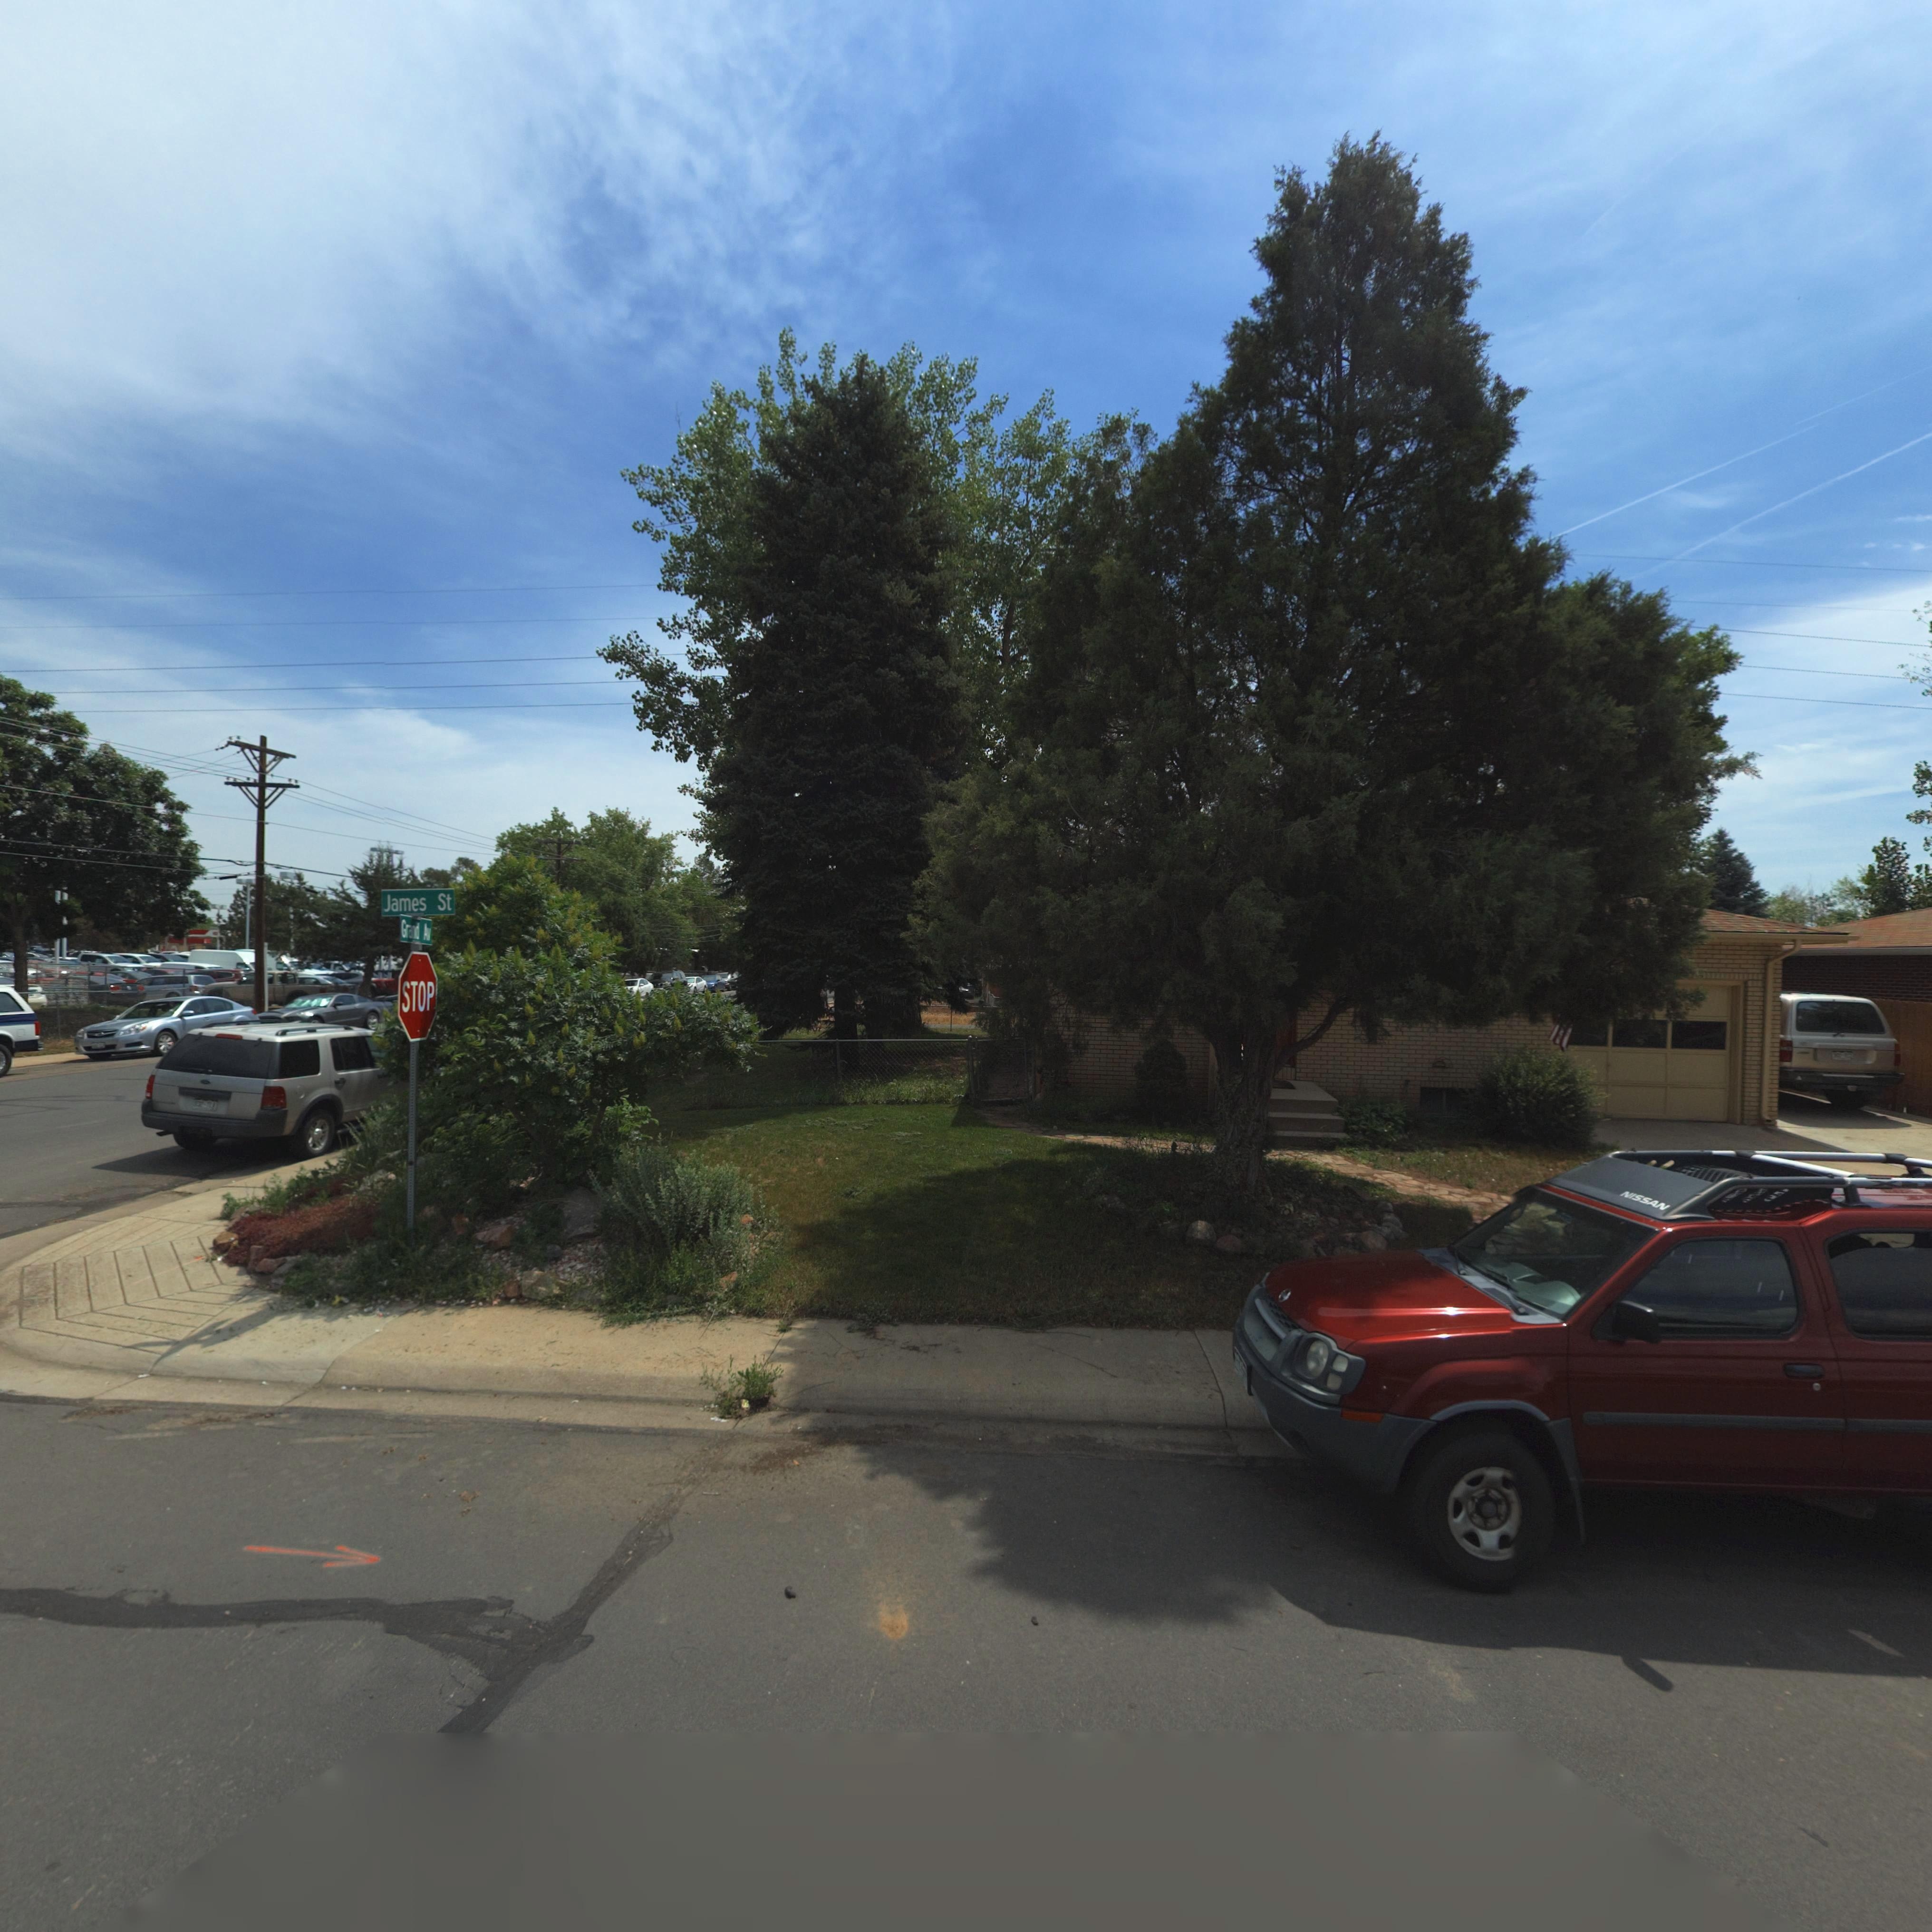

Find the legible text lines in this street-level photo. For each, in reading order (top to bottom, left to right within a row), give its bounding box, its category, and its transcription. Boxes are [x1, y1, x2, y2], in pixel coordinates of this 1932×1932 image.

[381, 890, 454, 915] StreetName: James St
[400, 918, 433, 942] StreetName: Grand Av